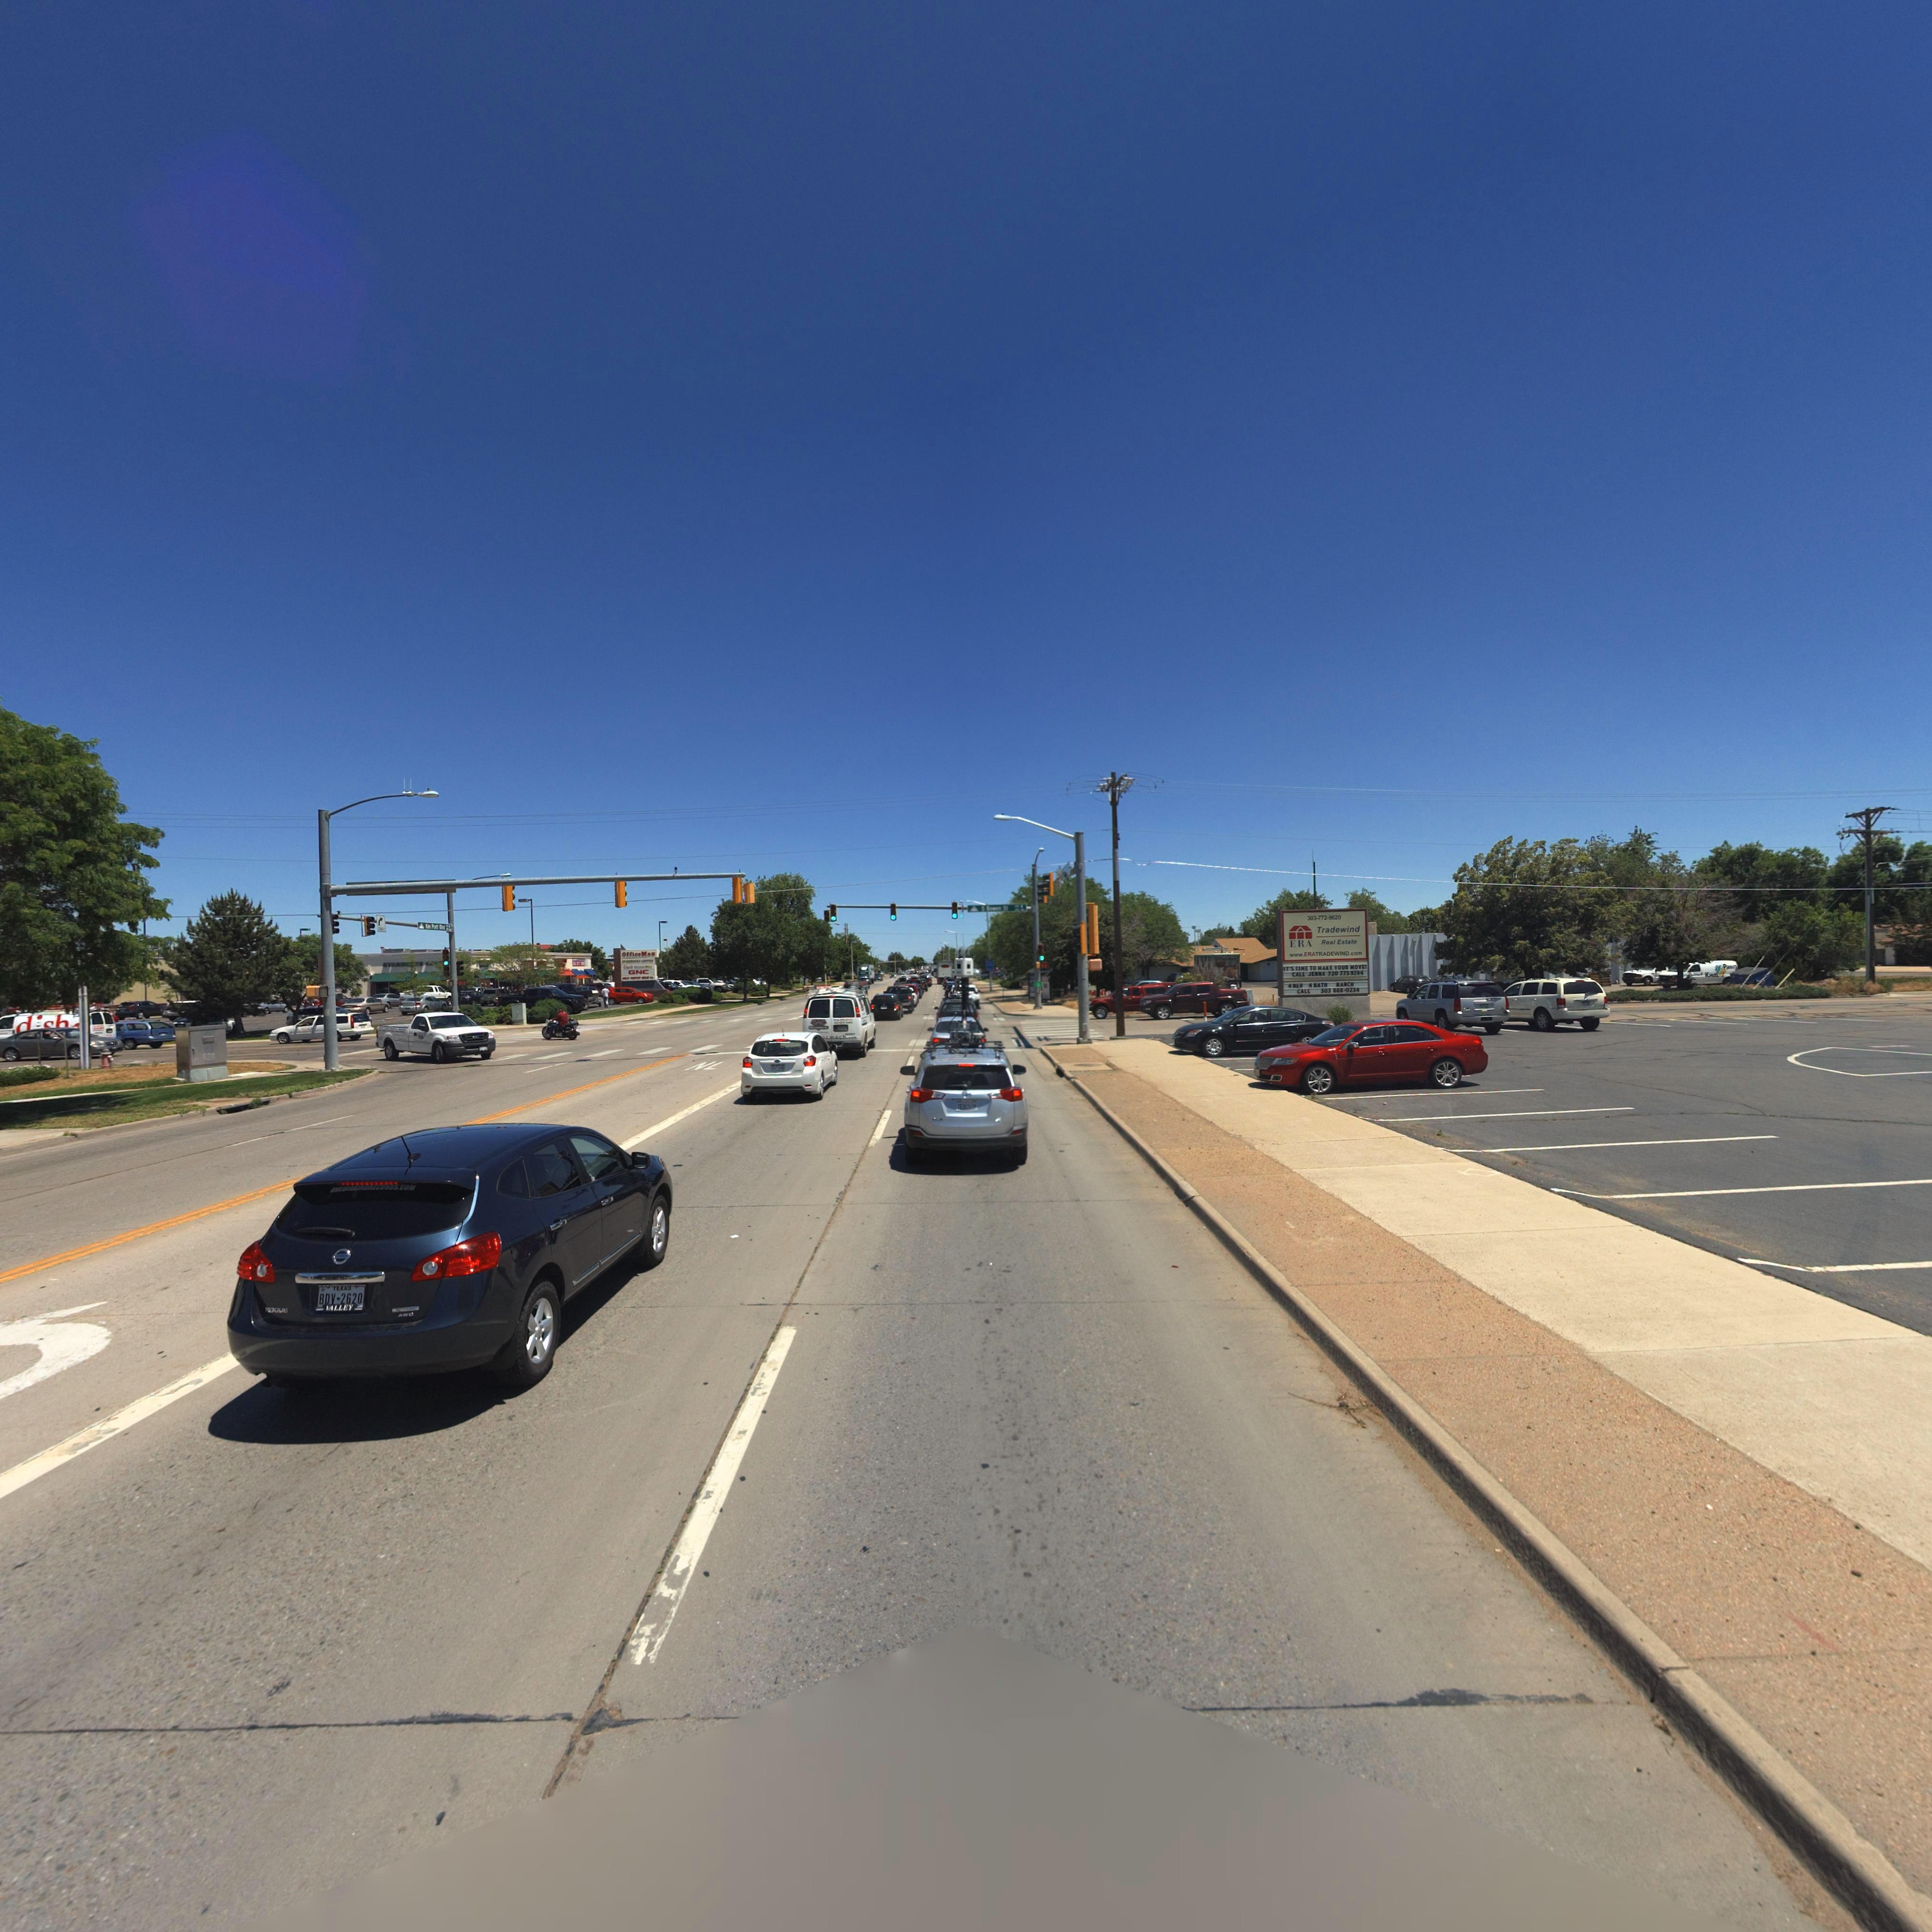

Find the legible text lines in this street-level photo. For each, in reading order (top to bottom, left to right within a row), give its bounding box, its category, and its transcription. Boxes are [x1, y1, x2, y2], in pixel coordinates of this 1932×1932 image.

[980, 905, 1008, 911] StreetName: S Bo*en S*
[425, 923, 445, 930] StreetName: K** P****B***
[1316, 925, 1360, 933] BusinessName: Tradewind
[1289, 939, 1313, 947] BusinessName: ERA
[1321, 939, 1357, 945] BusinessName: RealEstate
[622, 951, 656, 956] BusinessName: OfficeMax
[382, 961, 424, 967] BusinessName: STARB***S
[628, 969, 649, 974] BusinessName: GNC
[1088, 989, 1108, 996] BusinessName: PA*NT